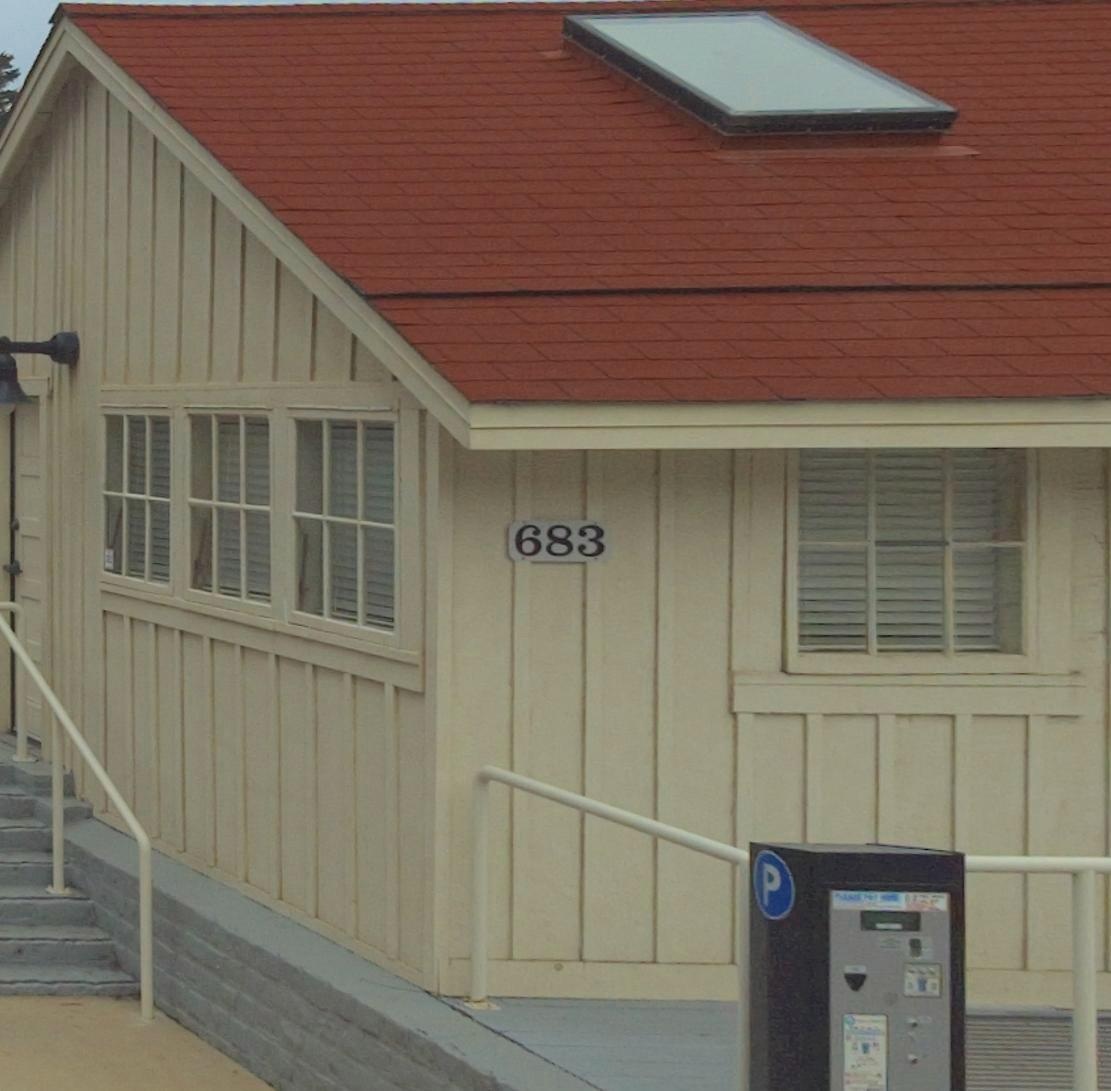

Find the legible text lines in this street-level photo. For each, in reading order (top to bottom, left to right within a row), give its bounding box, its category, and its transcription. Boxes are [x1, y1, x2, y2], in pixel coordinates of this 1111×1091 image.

[514, 522, 606, 557] StreetNumber: 683
[761, 861, 785, 907] None: P